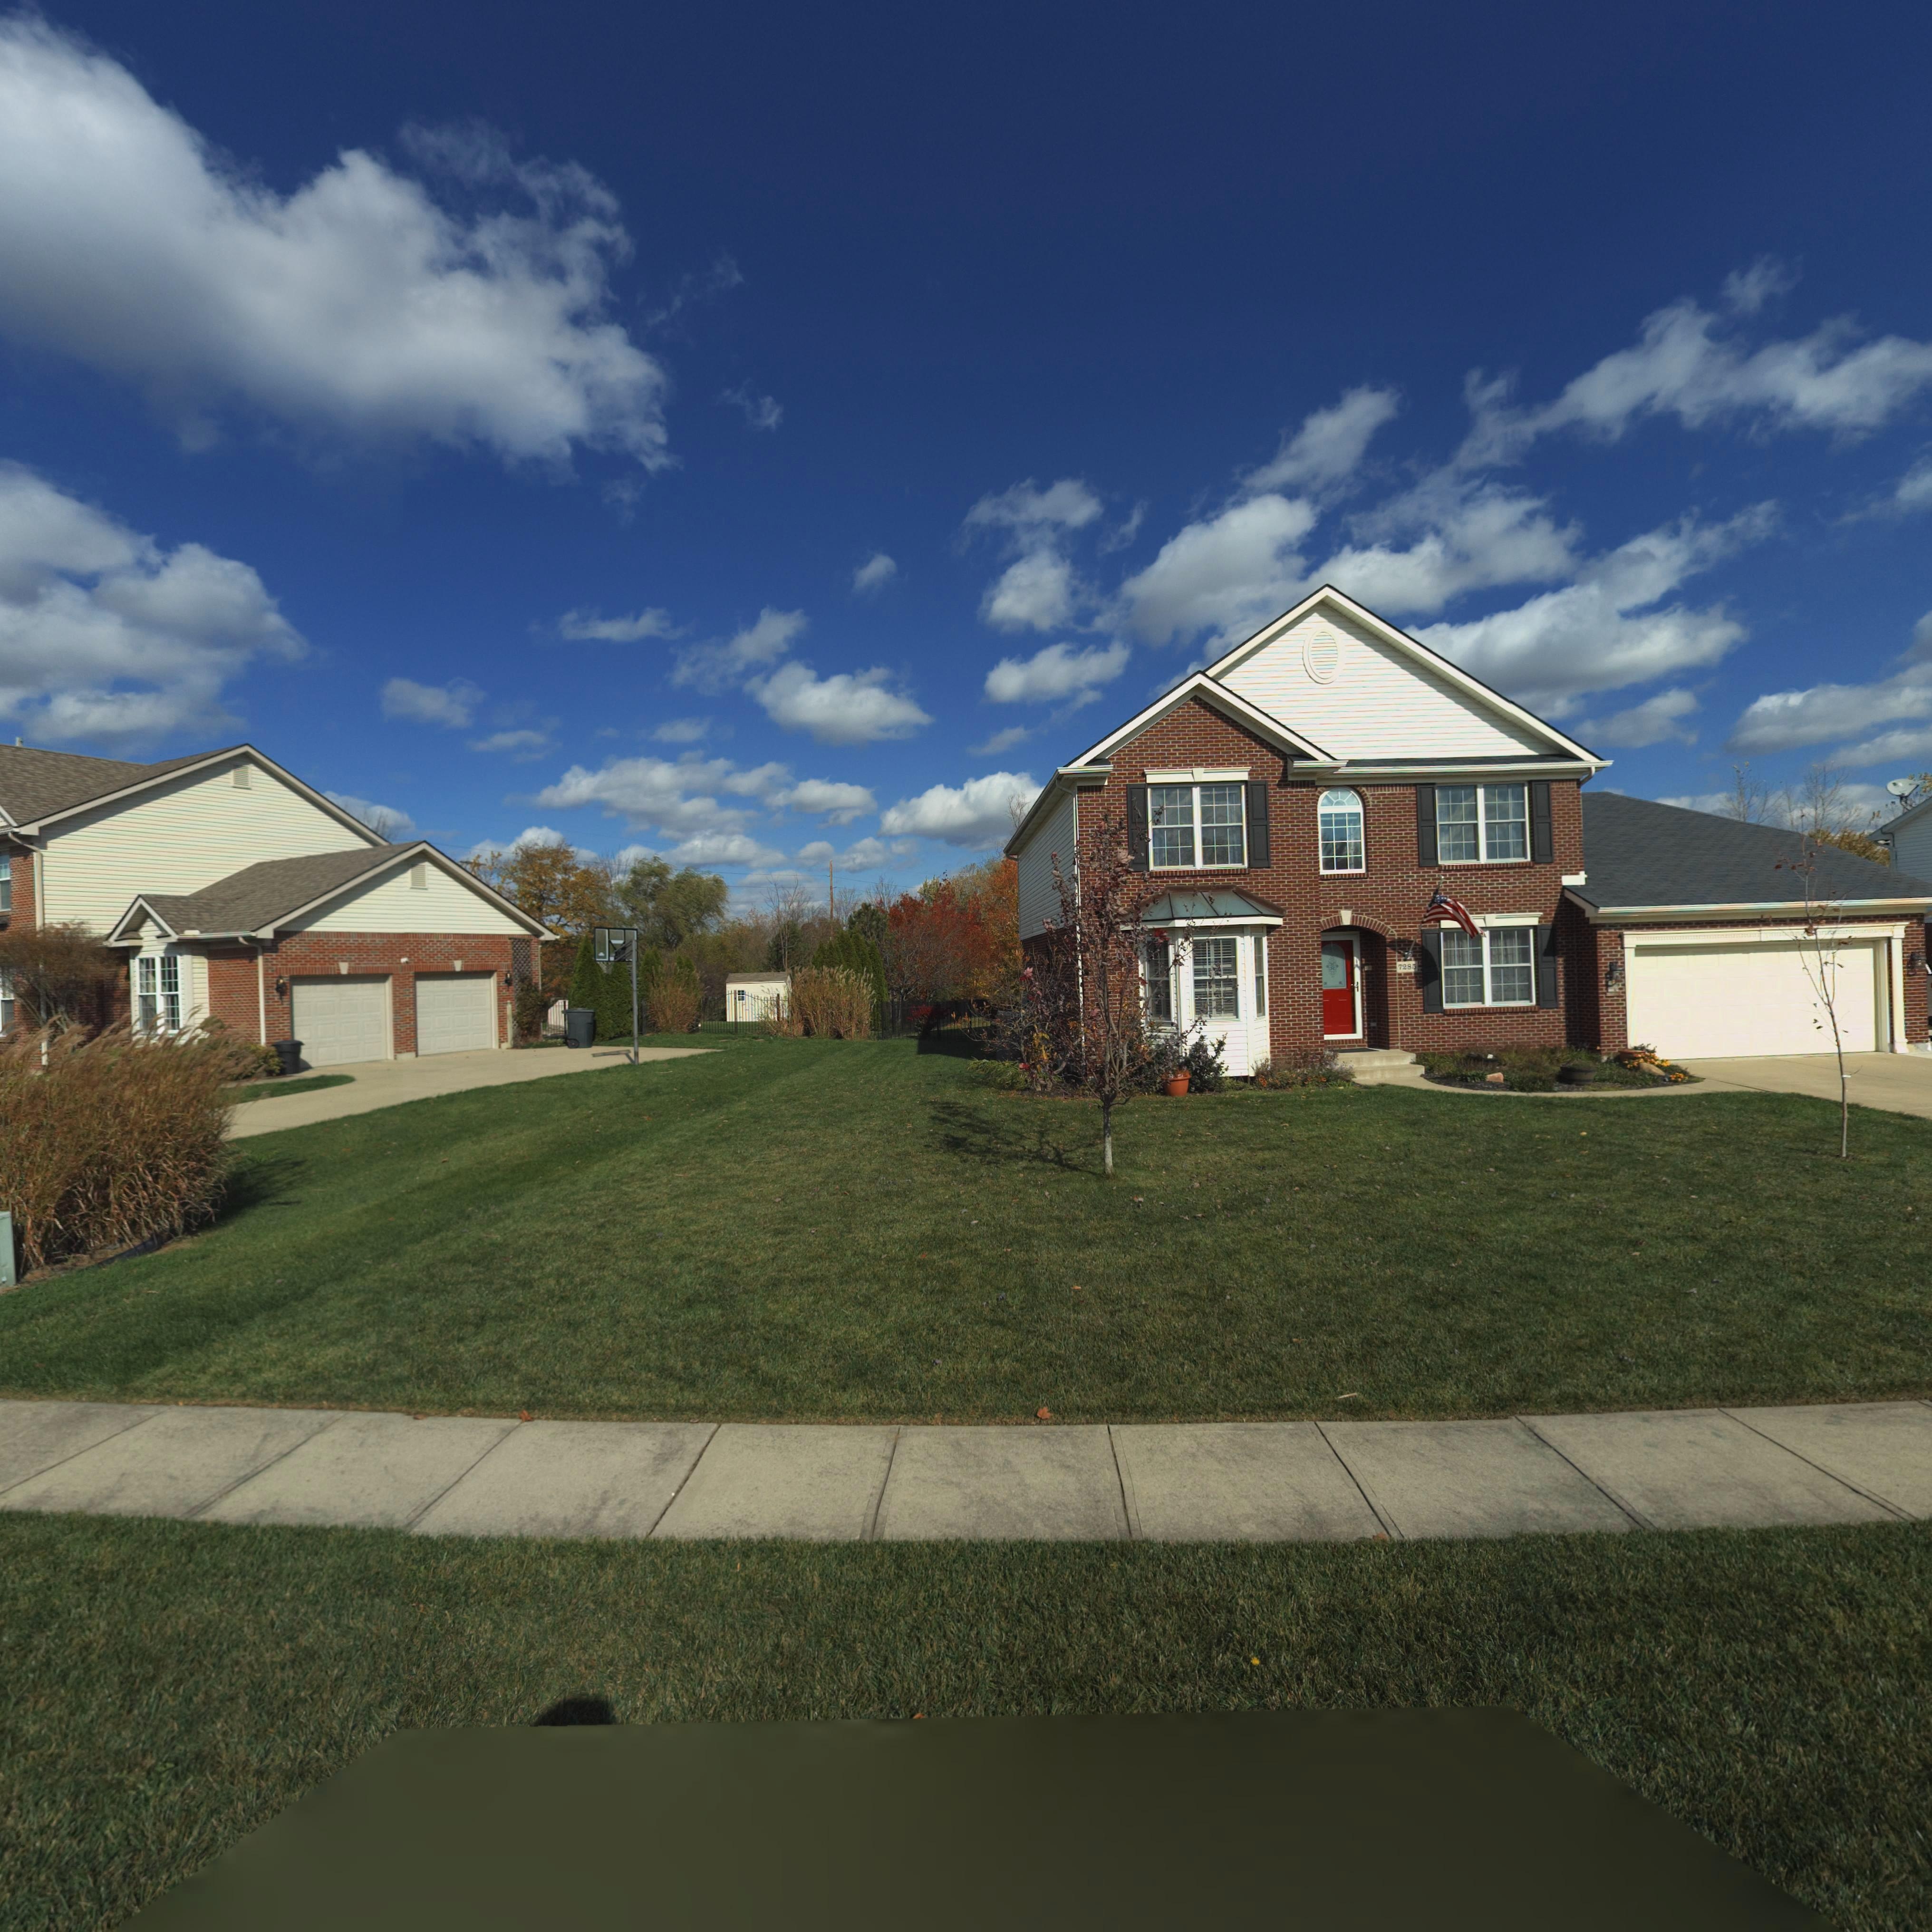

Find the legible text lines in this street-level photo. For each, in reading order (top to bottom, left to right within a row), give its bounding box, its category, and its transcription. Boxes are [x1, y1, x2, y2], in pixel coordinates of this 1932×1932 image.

[1397, 963, 1417, 970] StreetNumber: 7285